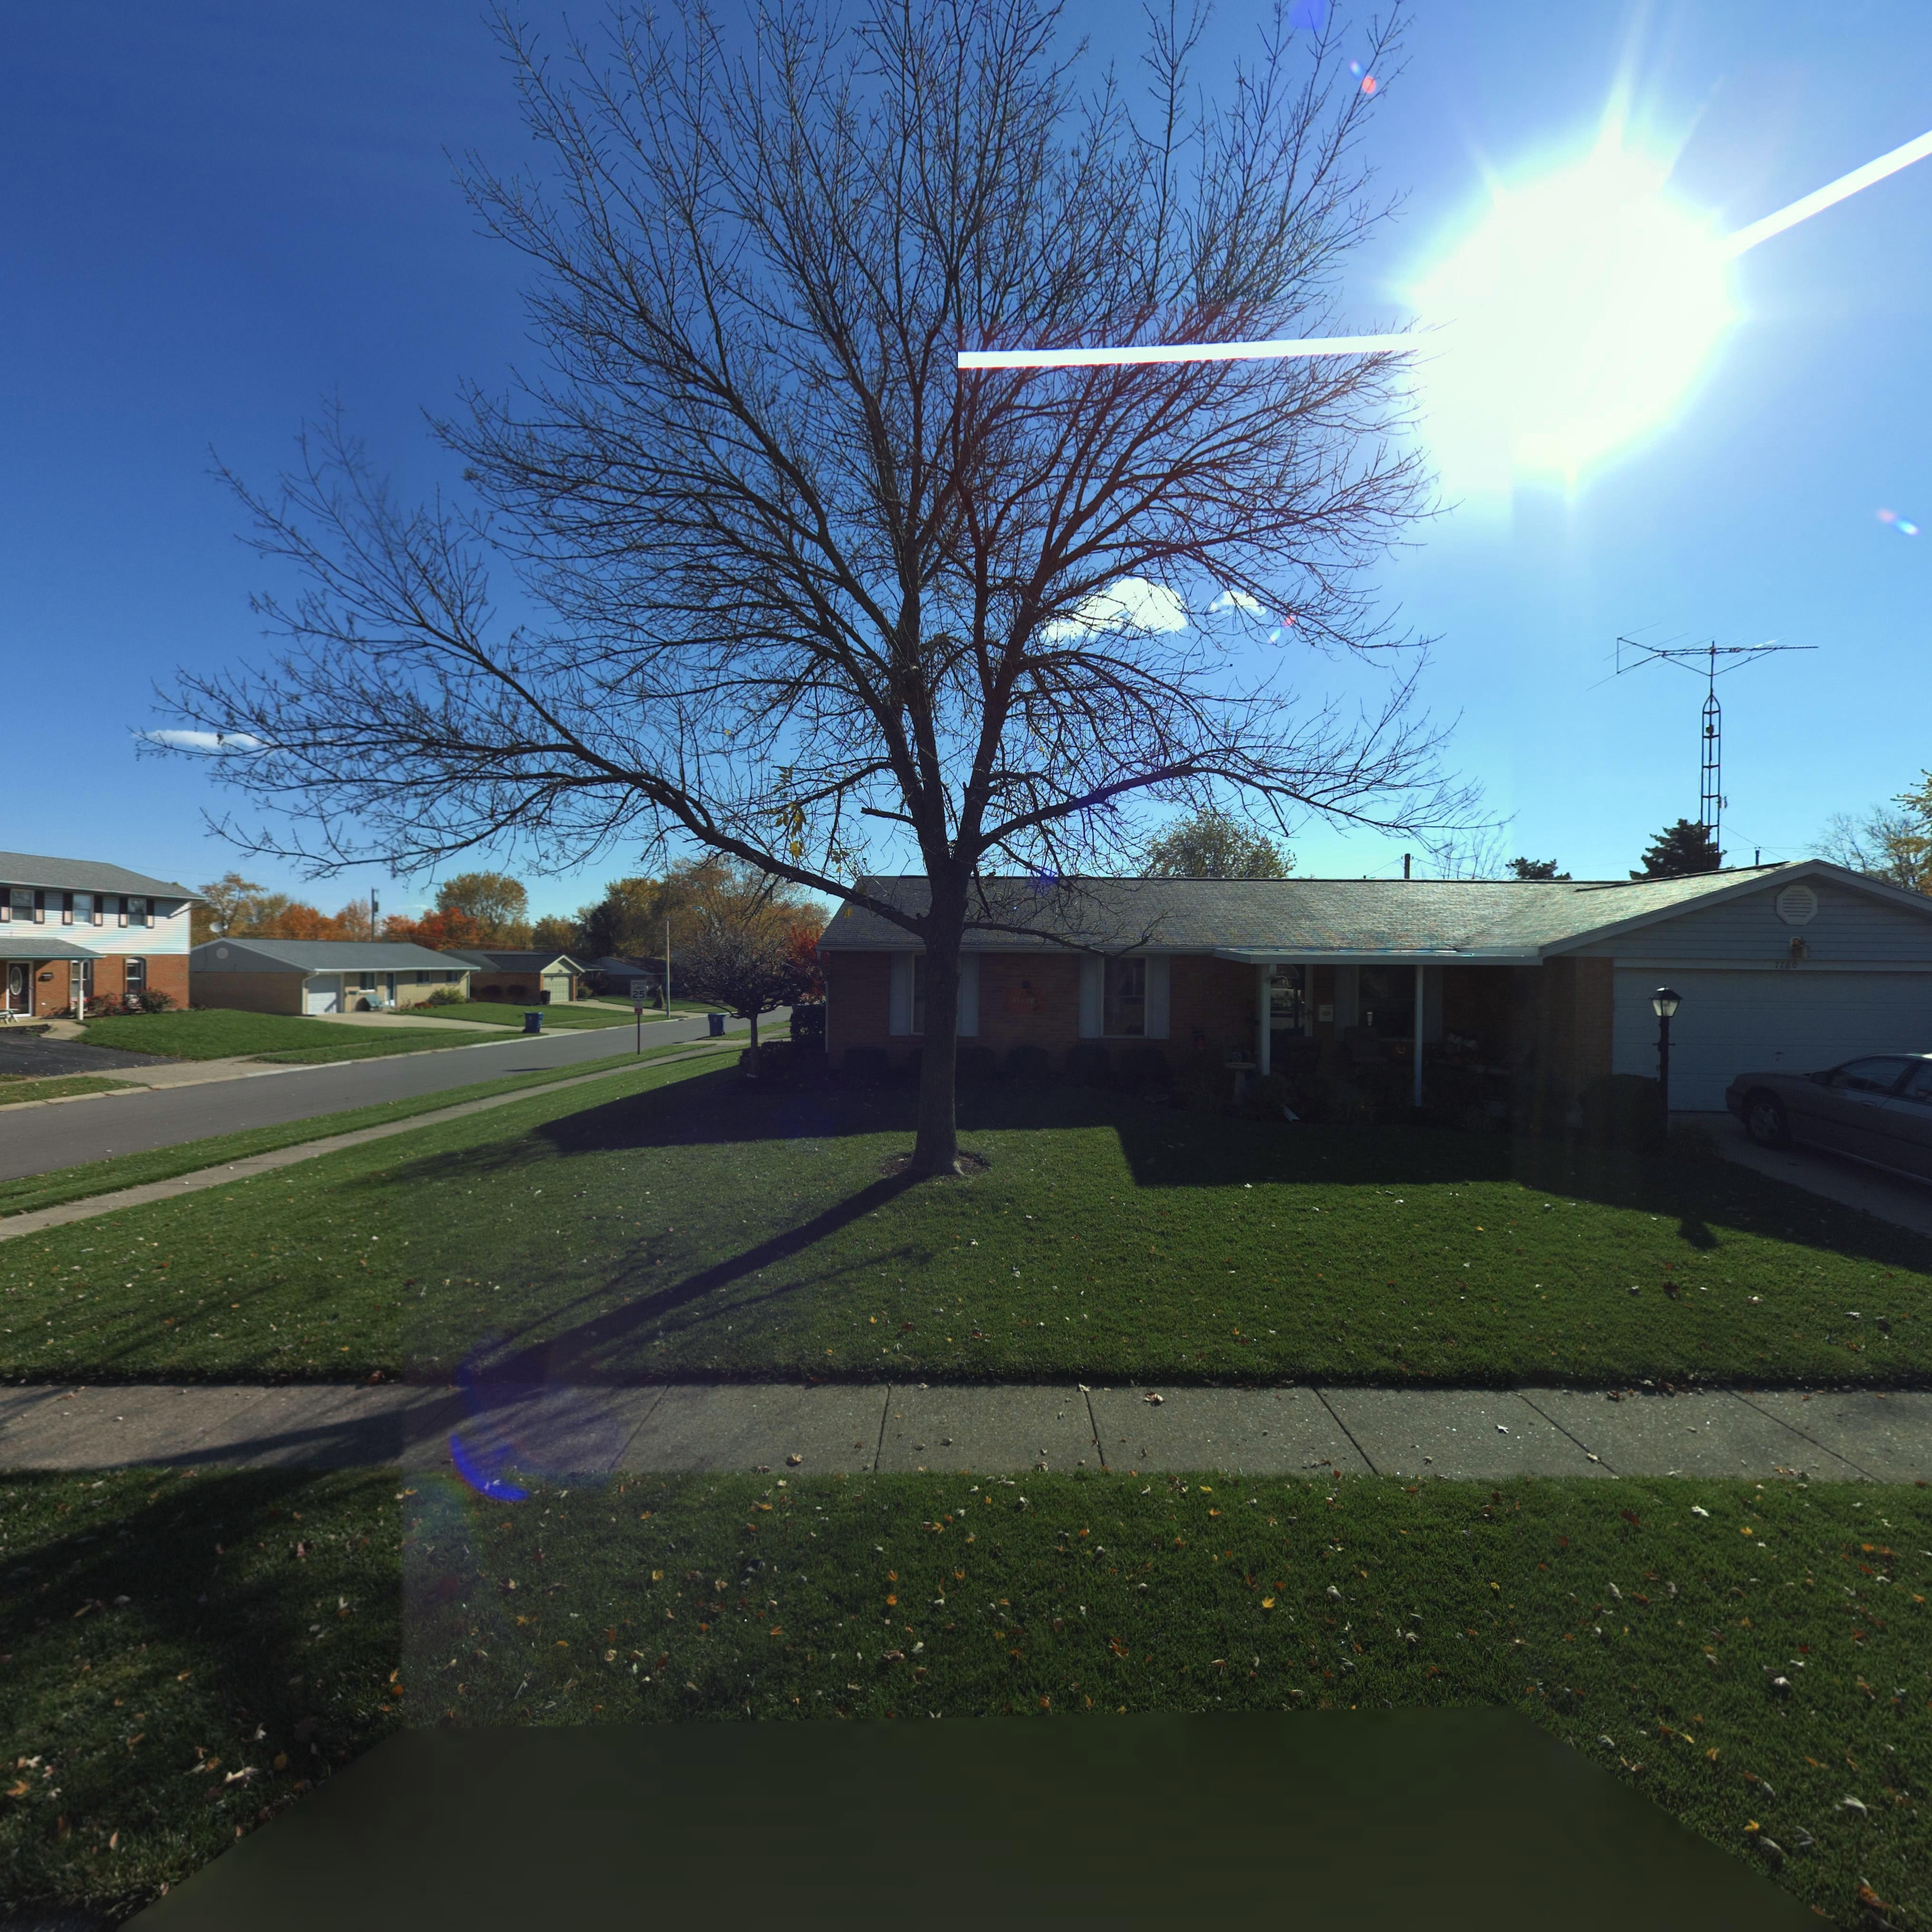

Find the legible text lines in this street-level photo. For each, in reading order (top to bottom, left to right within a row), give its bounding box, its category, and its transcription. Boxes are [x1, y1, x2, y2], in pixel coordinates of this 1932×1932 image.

[1773, 960, 1798, 970] StreetNumber: 7780